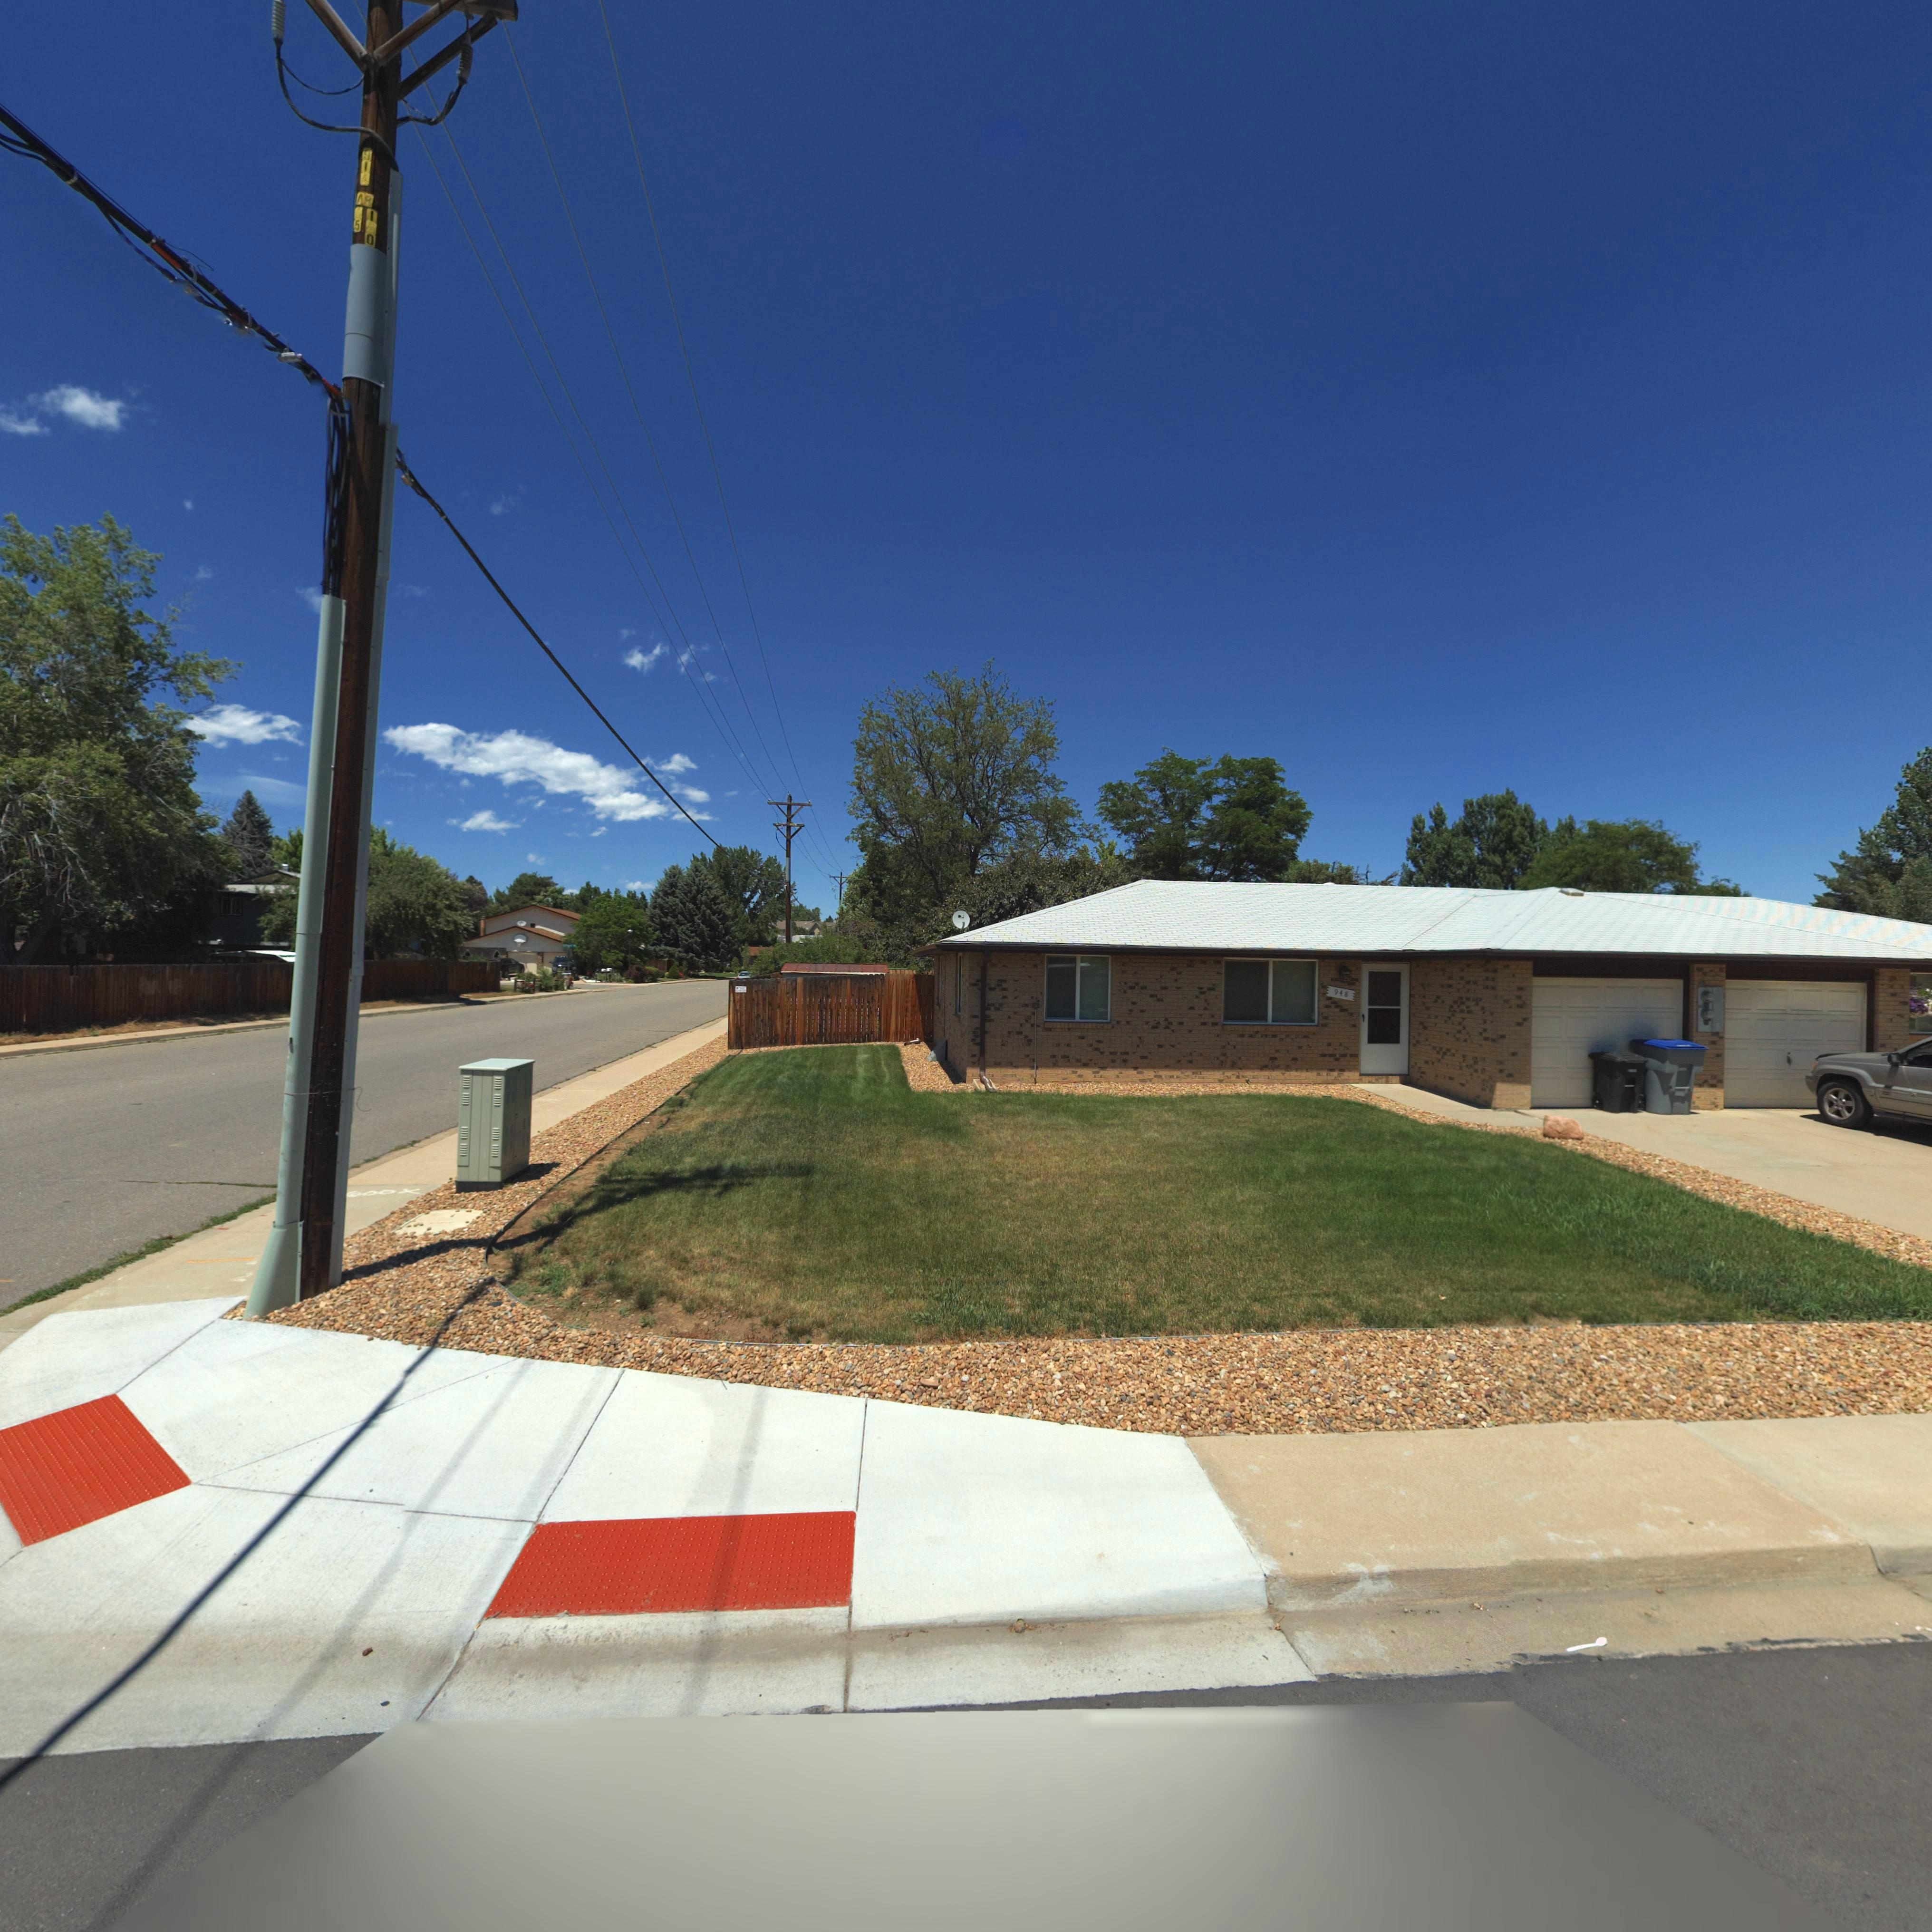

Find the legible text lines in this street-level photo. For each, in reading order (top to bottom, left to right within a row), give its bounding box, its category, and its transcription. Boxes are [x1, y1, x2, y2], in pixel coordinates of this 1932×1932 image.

[1334, 988, 1349, 997] StreetNumber: 948